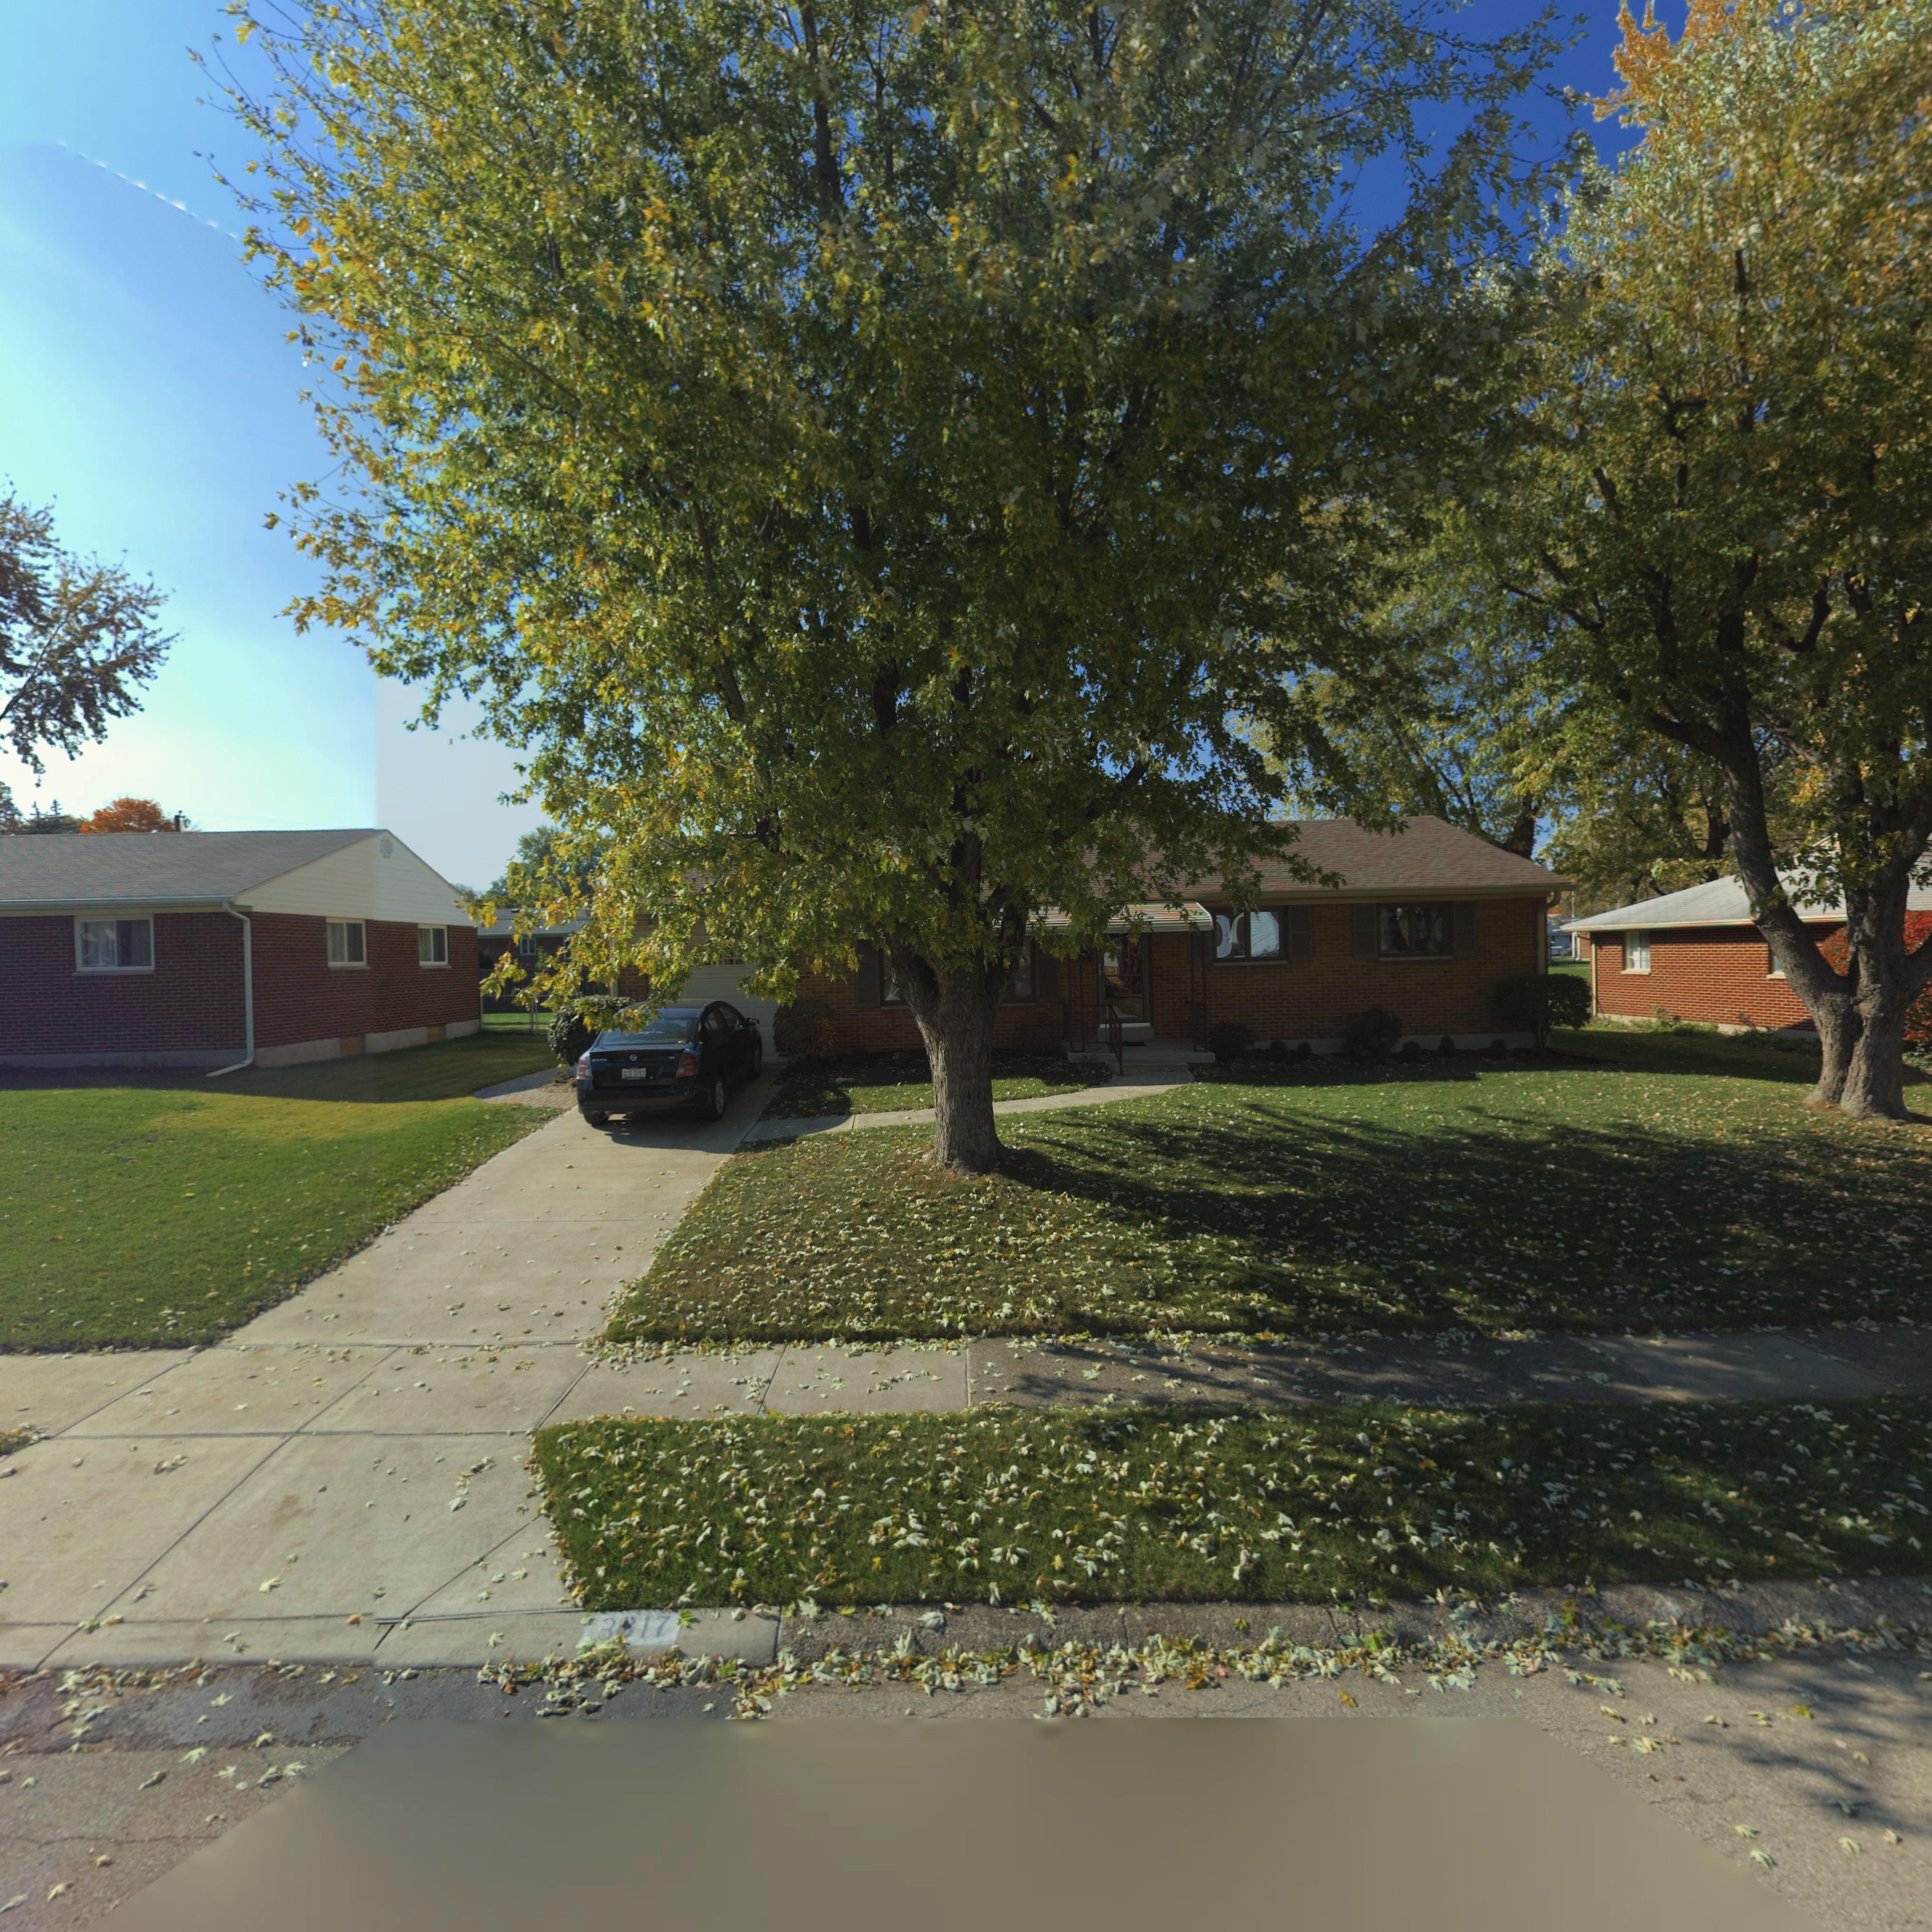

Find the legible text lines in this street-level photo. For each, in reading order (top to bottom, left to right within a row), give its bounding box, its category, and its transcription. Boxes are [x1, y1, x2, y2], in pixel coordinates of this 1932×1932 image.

[622, 1069, 645, 1078] None: GC* 3793
[594, 1613, 675, 1644] StreetNumber: 3*17